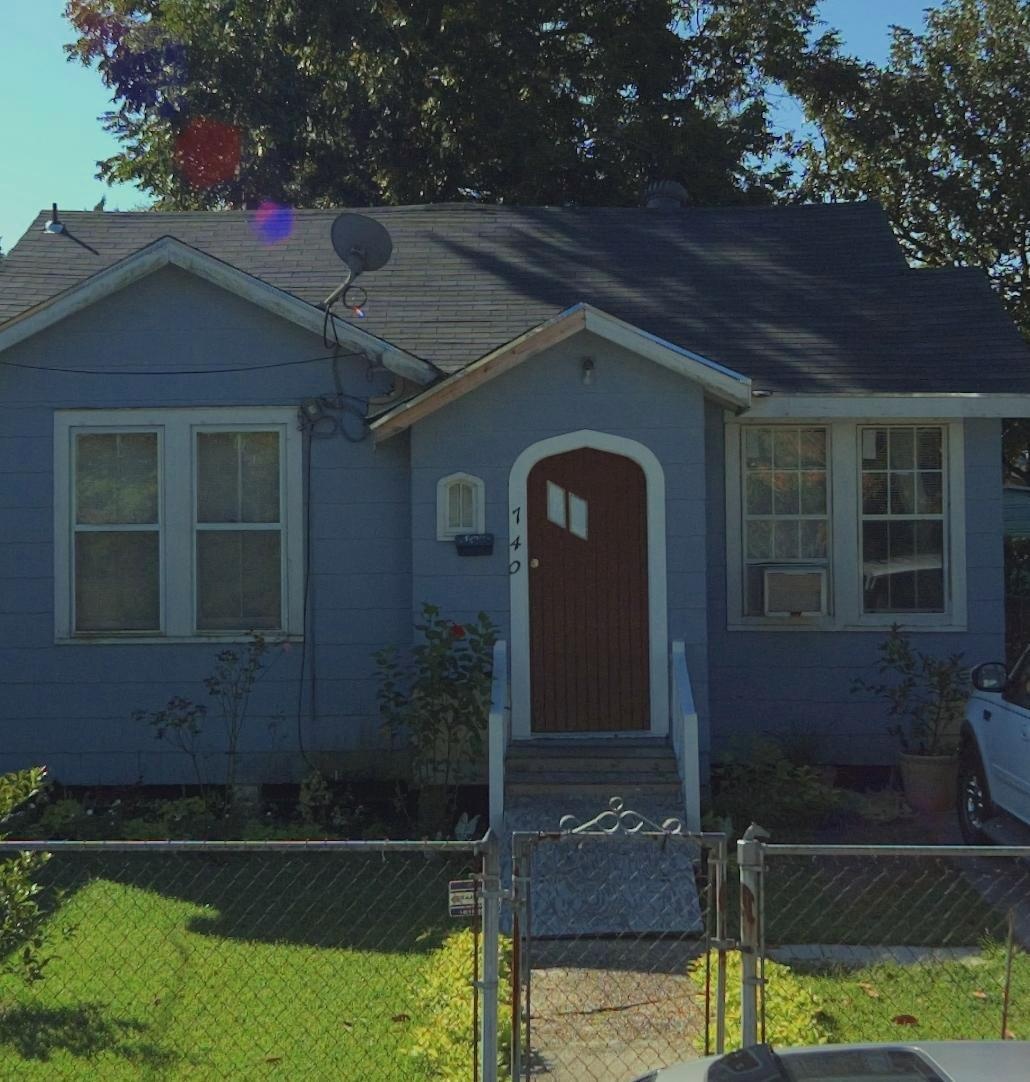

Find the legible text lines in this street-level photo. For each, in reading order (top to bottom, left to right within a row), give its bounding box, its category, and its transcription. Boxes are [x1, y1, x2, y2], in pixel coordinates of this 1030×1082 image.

[506, 502, 524, 579] StreetNumber: 740